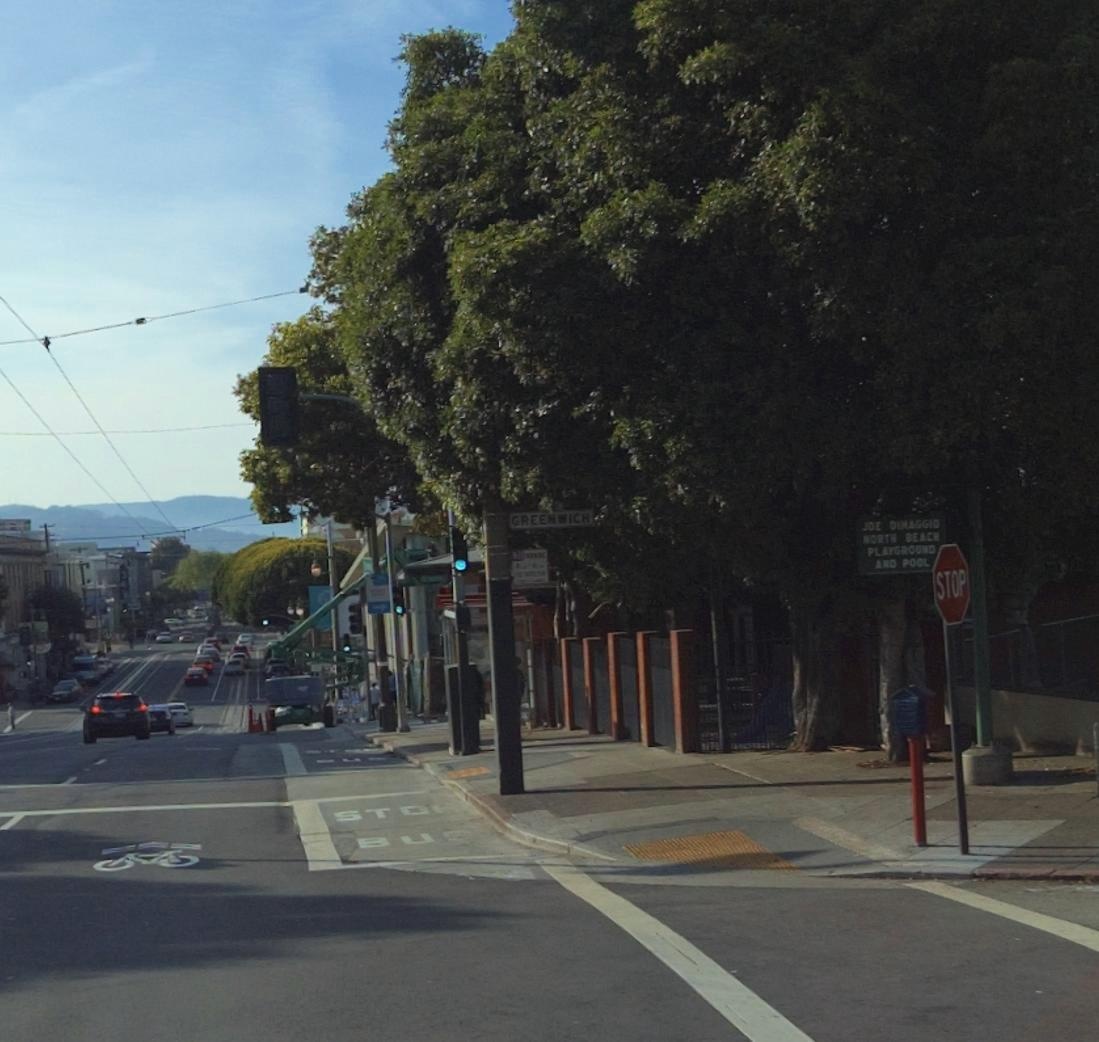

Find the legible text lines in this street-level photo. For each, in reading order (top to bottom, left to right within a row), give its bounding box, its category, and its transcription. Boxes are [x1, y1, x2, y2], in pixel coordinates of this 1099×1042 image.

[510, 510, 593, 529] StreetName: GREENWICH
[859, 516, 943, 534] None: JOE DIMAGGIO
[860, 529, 943, 547] None: MORTS BEACH
[865, 542, 939, 560] None: PLAYGROUND
[871, 555, 933, 572] None: AND POOL
[933, 566, 969, 603] None: STOP
[329, 803, 438, 824] None: STO
[351, 829, 439, 853] None: BU